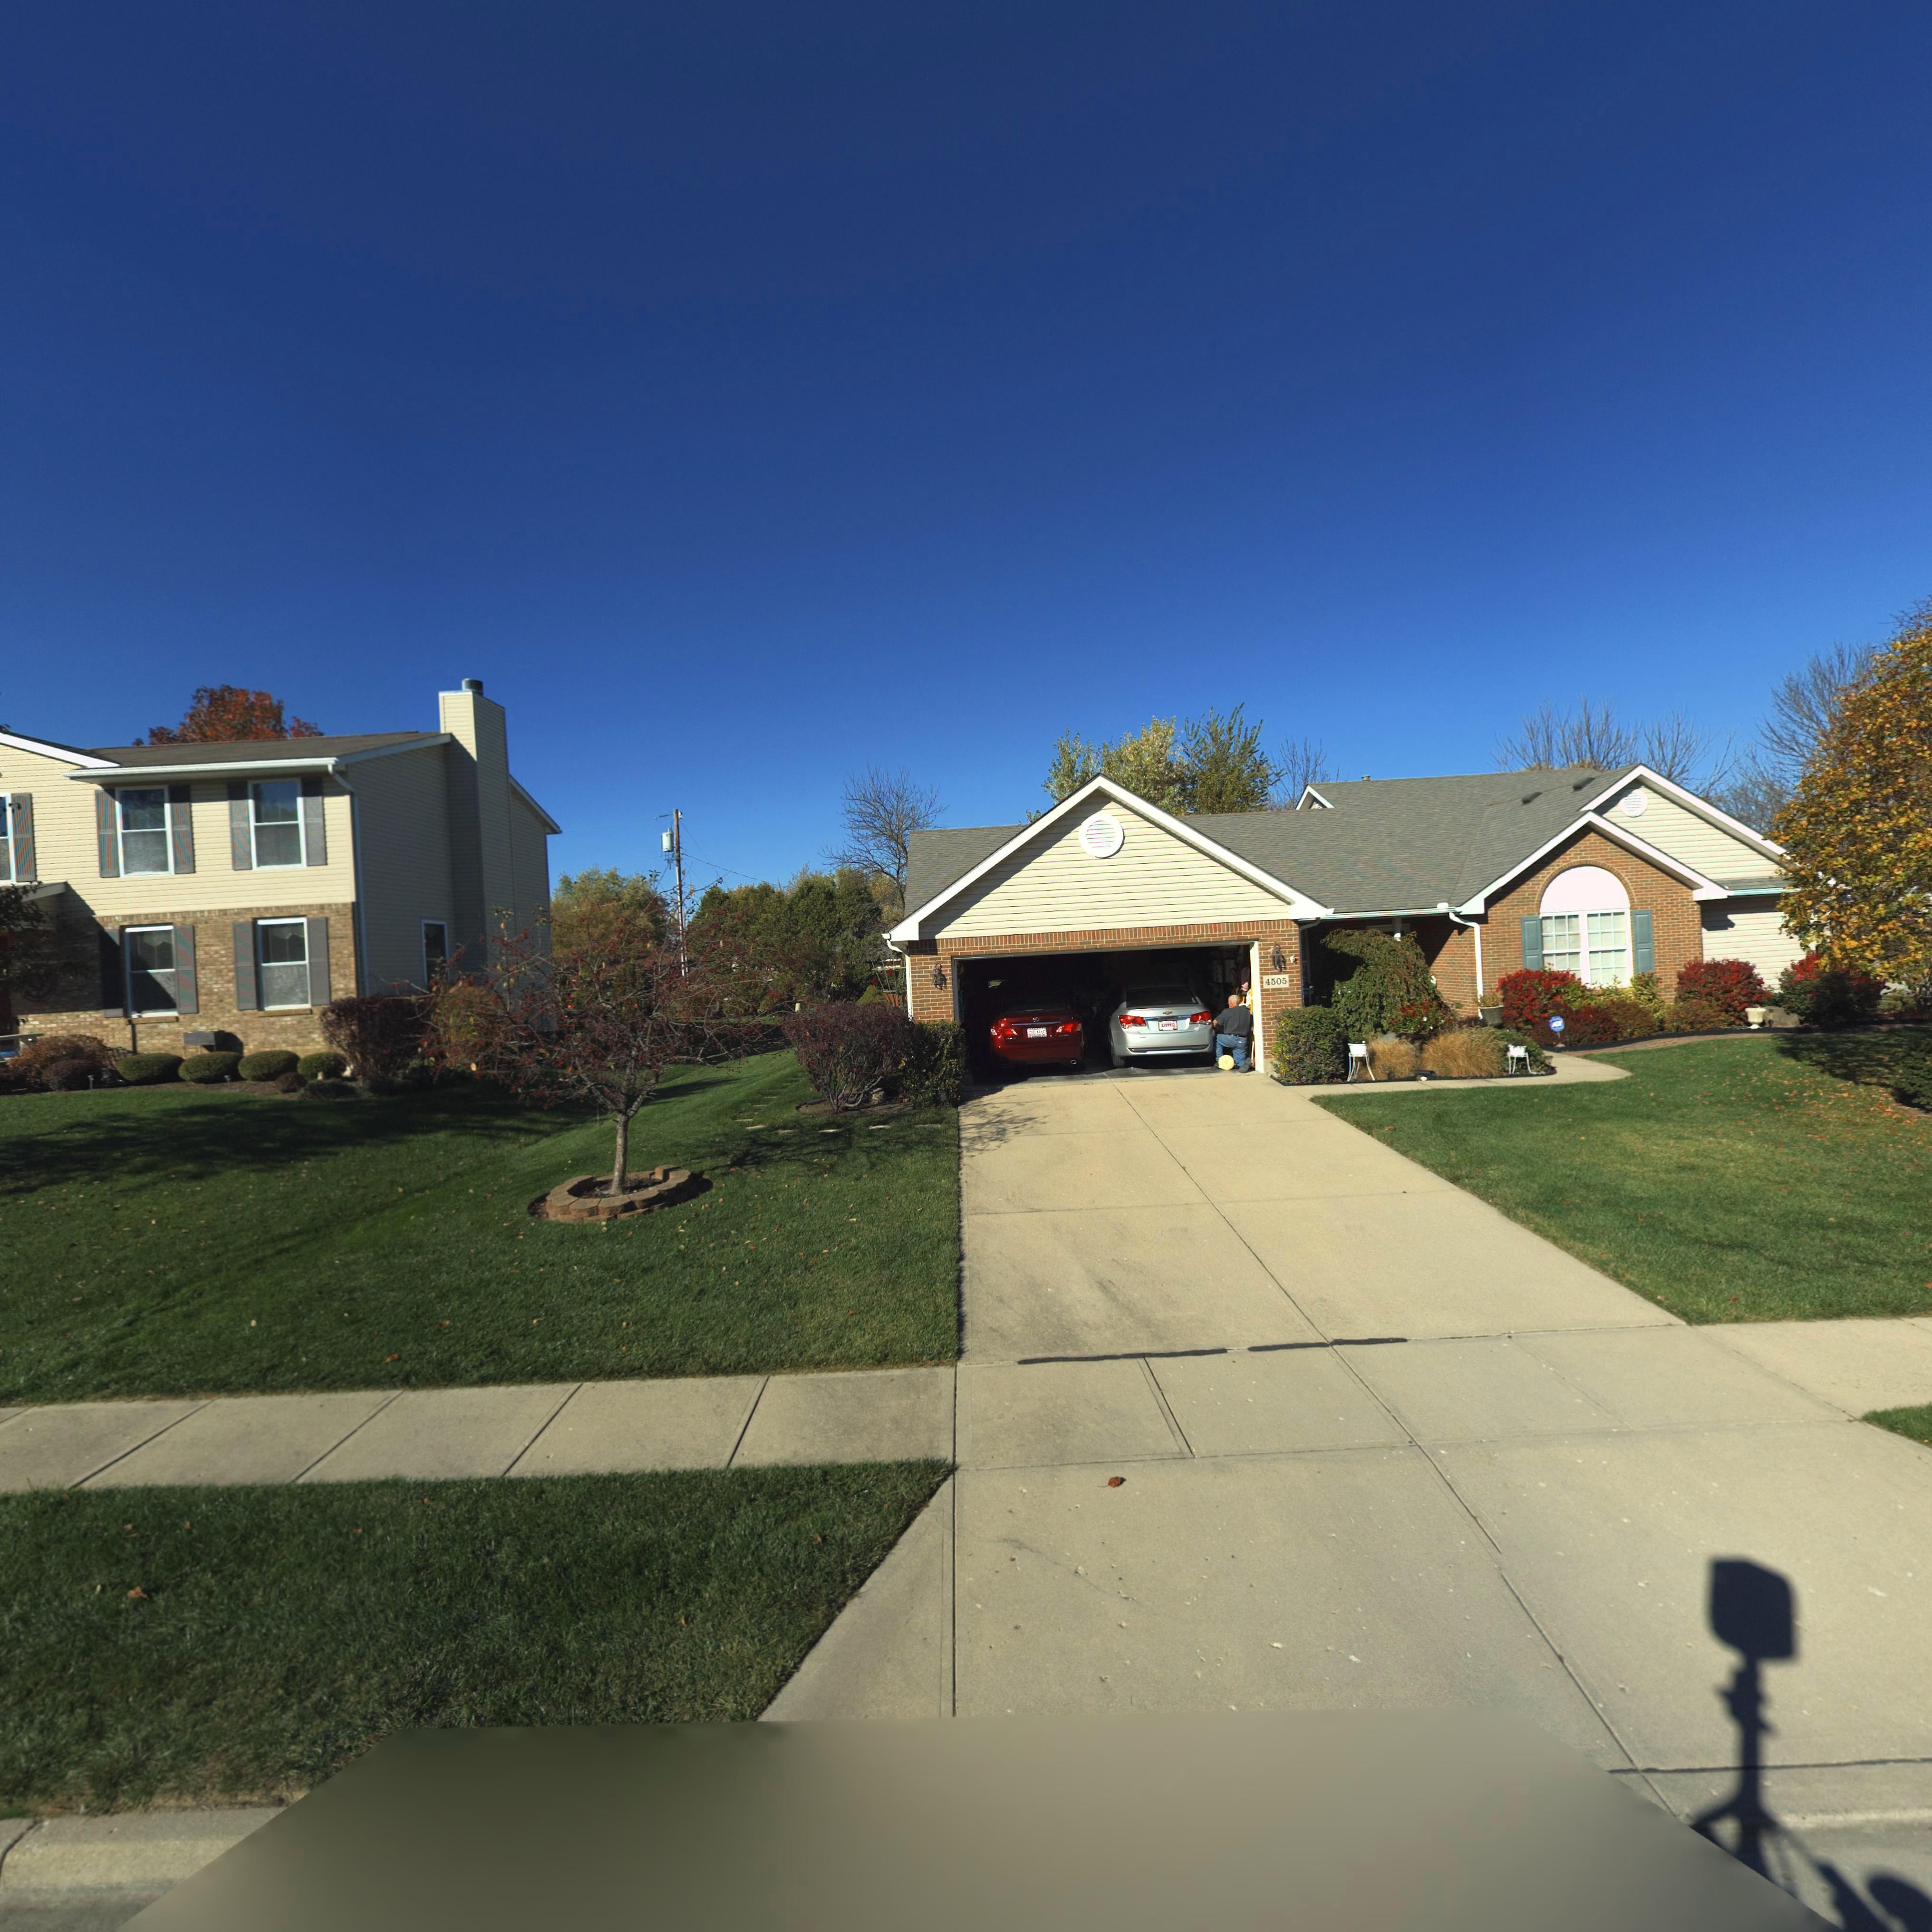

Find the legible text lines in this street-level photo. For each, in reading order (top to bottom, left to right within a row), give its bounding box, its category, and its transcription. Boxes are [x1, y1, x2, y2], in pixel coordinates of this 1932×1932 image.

[1264, 976, 1288, 986] StreetNumber: 4505